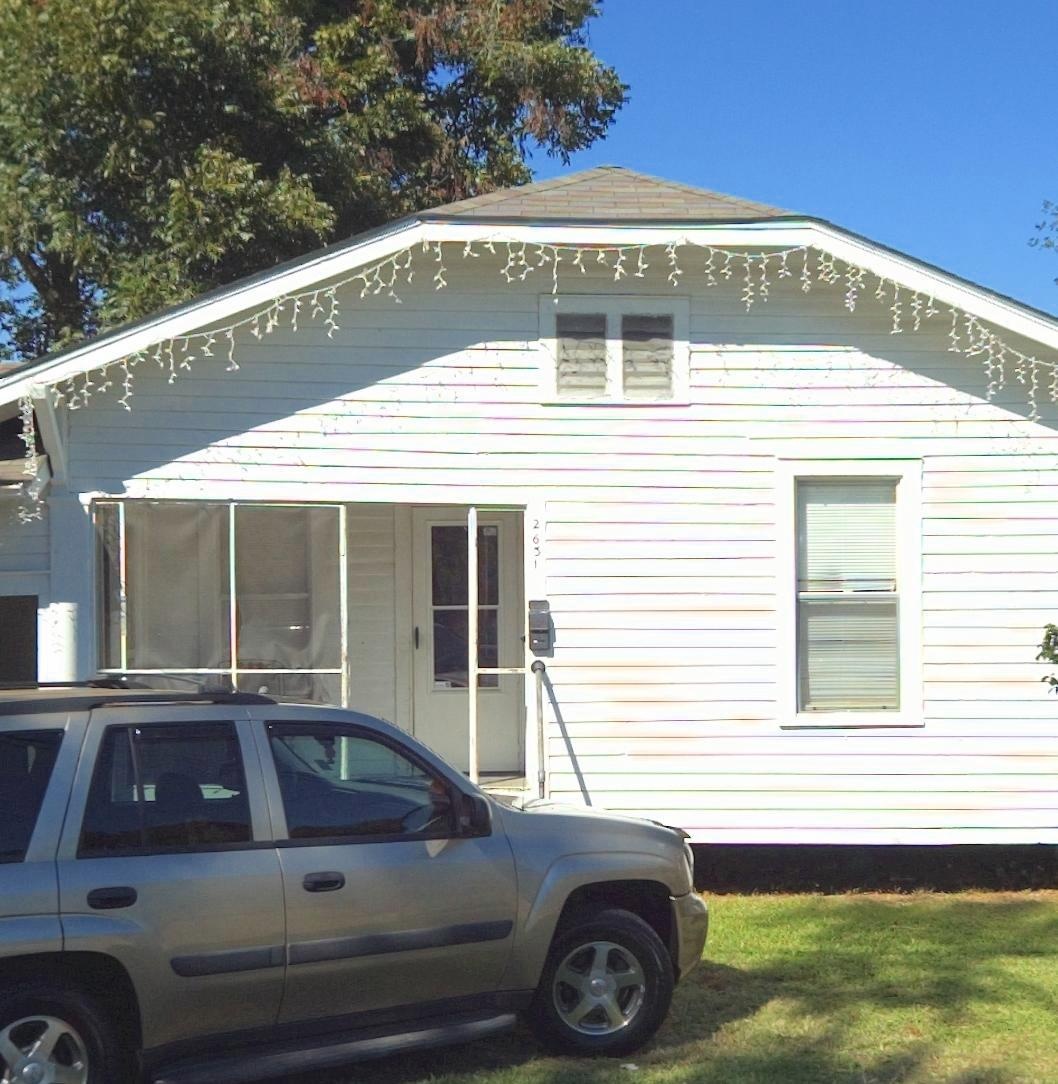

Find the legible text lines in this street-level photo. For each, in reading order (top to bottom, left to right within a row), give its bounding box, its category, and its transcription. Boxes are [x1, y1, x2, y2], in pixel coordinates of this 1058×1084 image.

[531, 517, 543, 571] StreetNumber: 2631